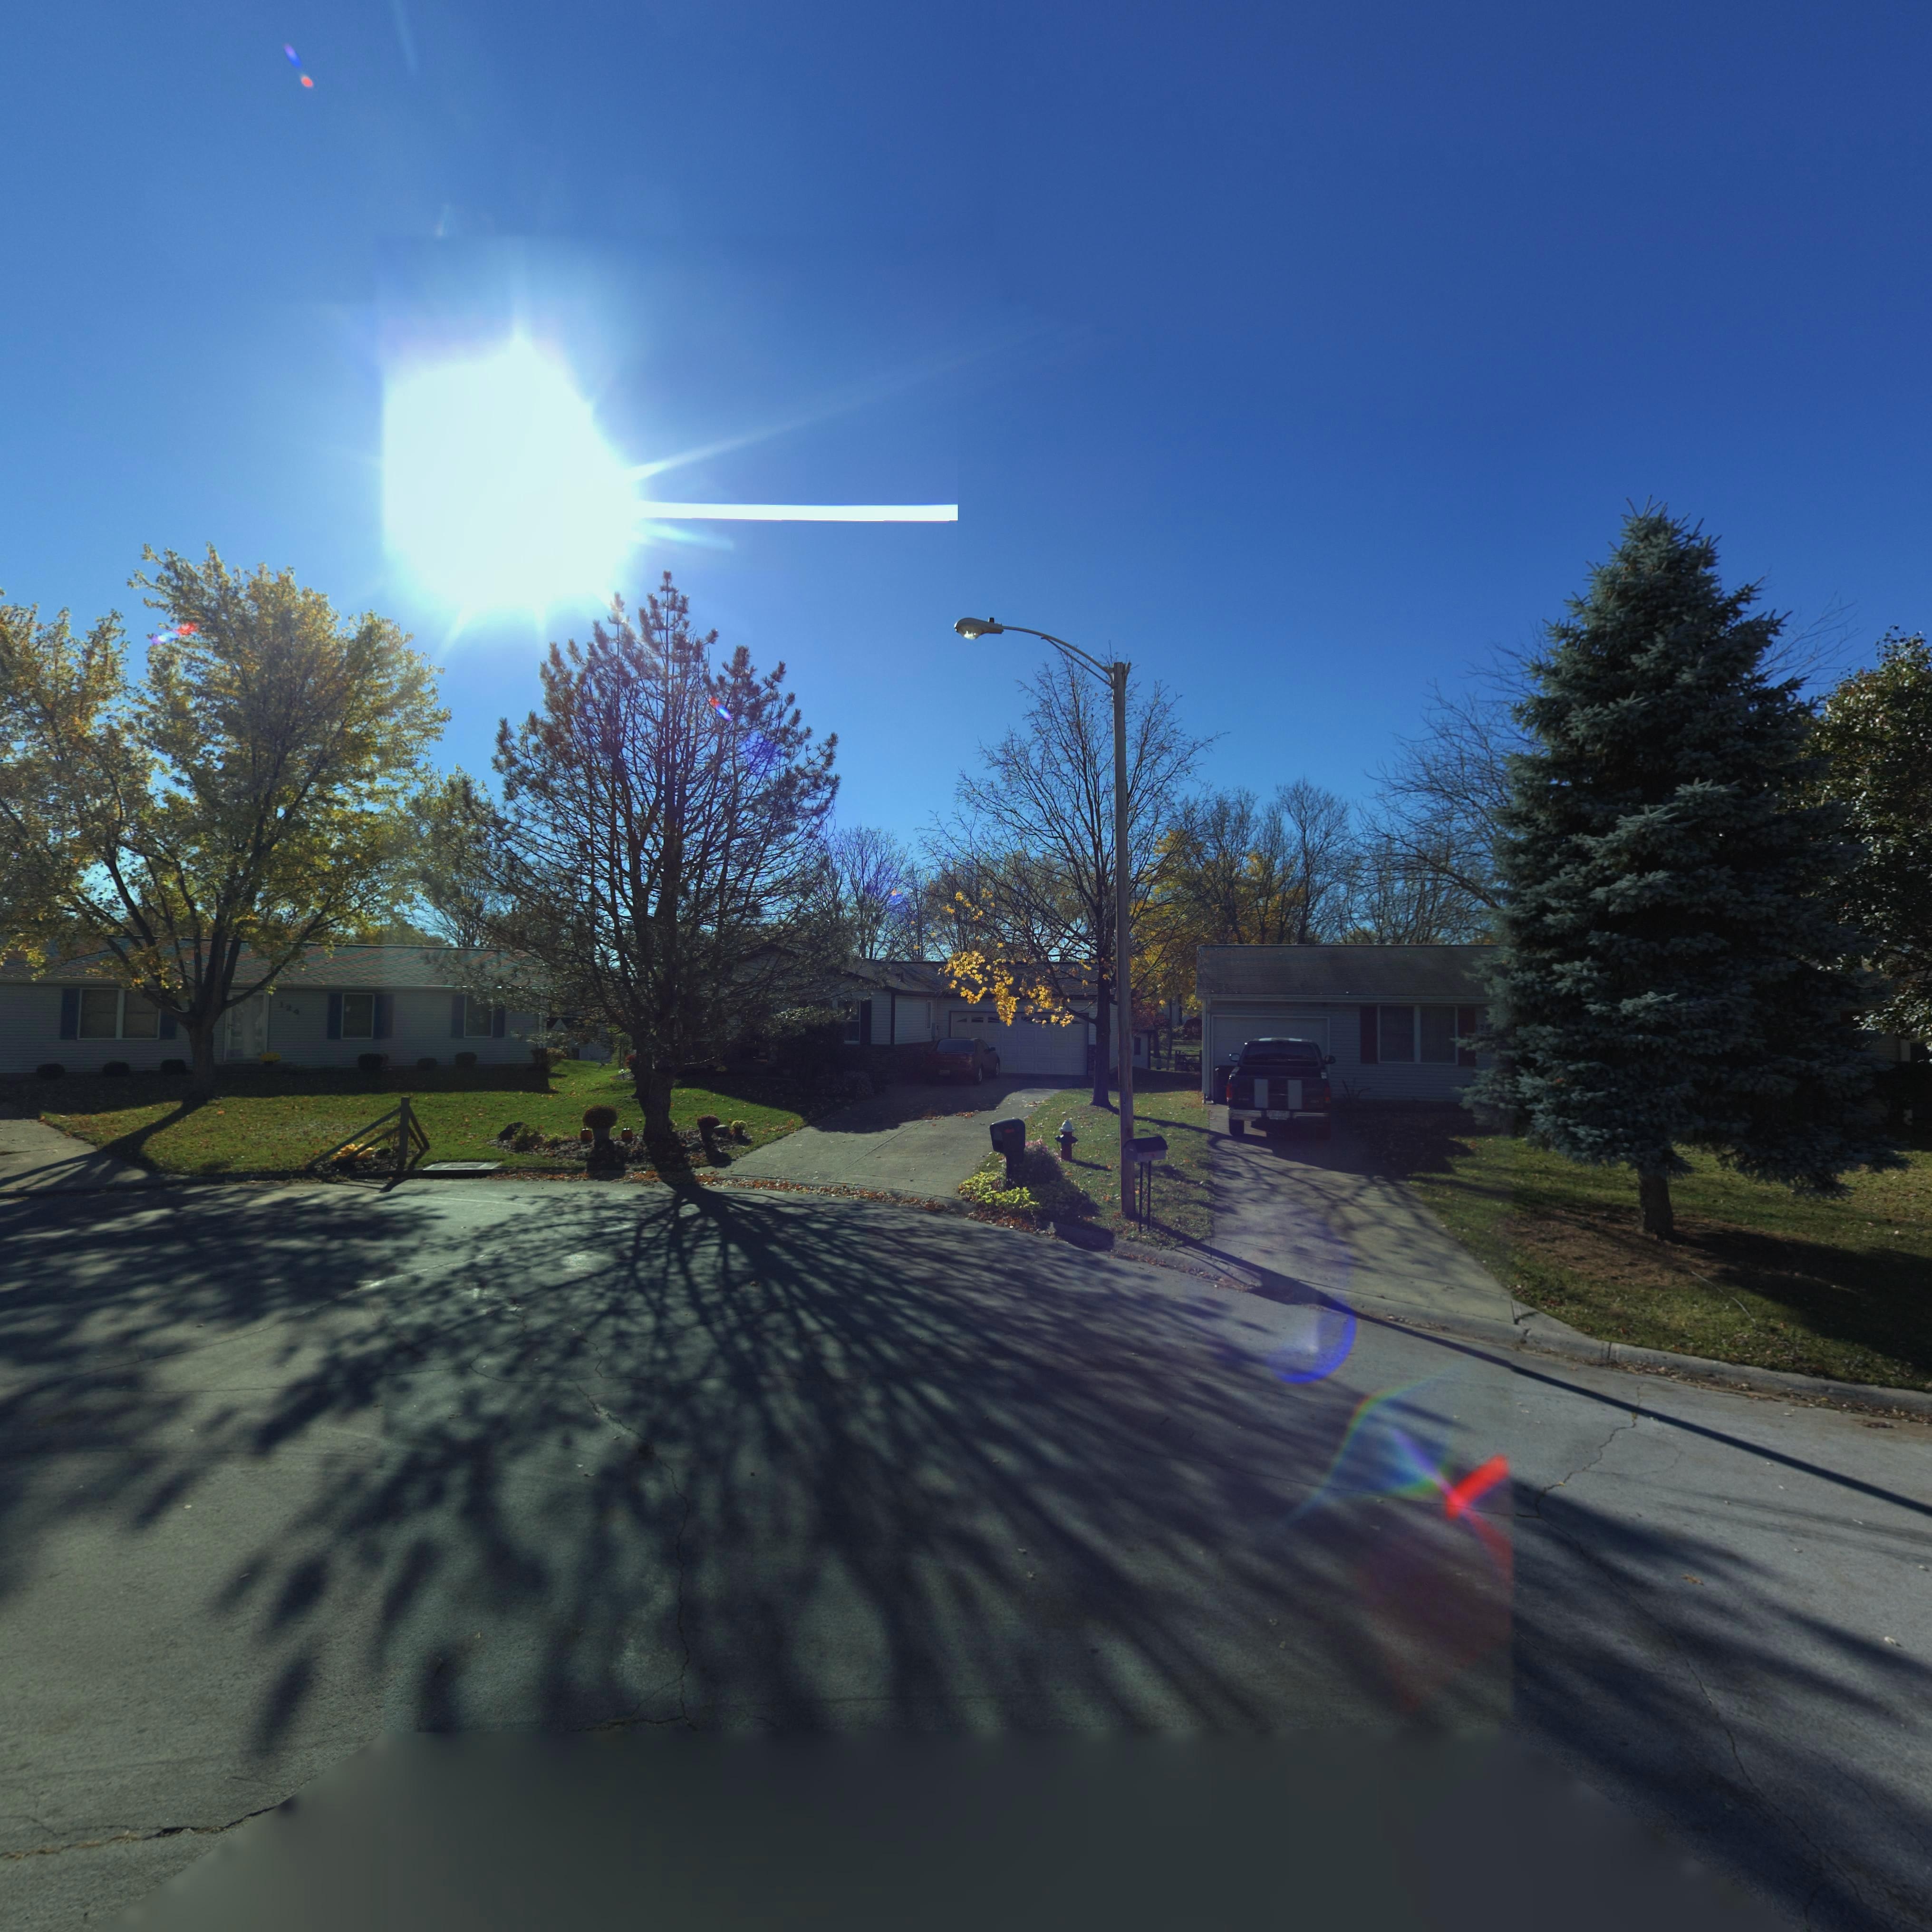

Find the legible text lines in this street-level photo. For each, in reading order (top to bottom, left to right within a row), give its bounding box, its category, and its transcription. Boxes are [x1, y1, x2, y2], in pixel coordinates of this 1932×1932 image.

[279, 1001, 299, 1015] StreetNumber: 124
[1475, 1023, 1491, 1032] StreetNumber: 120